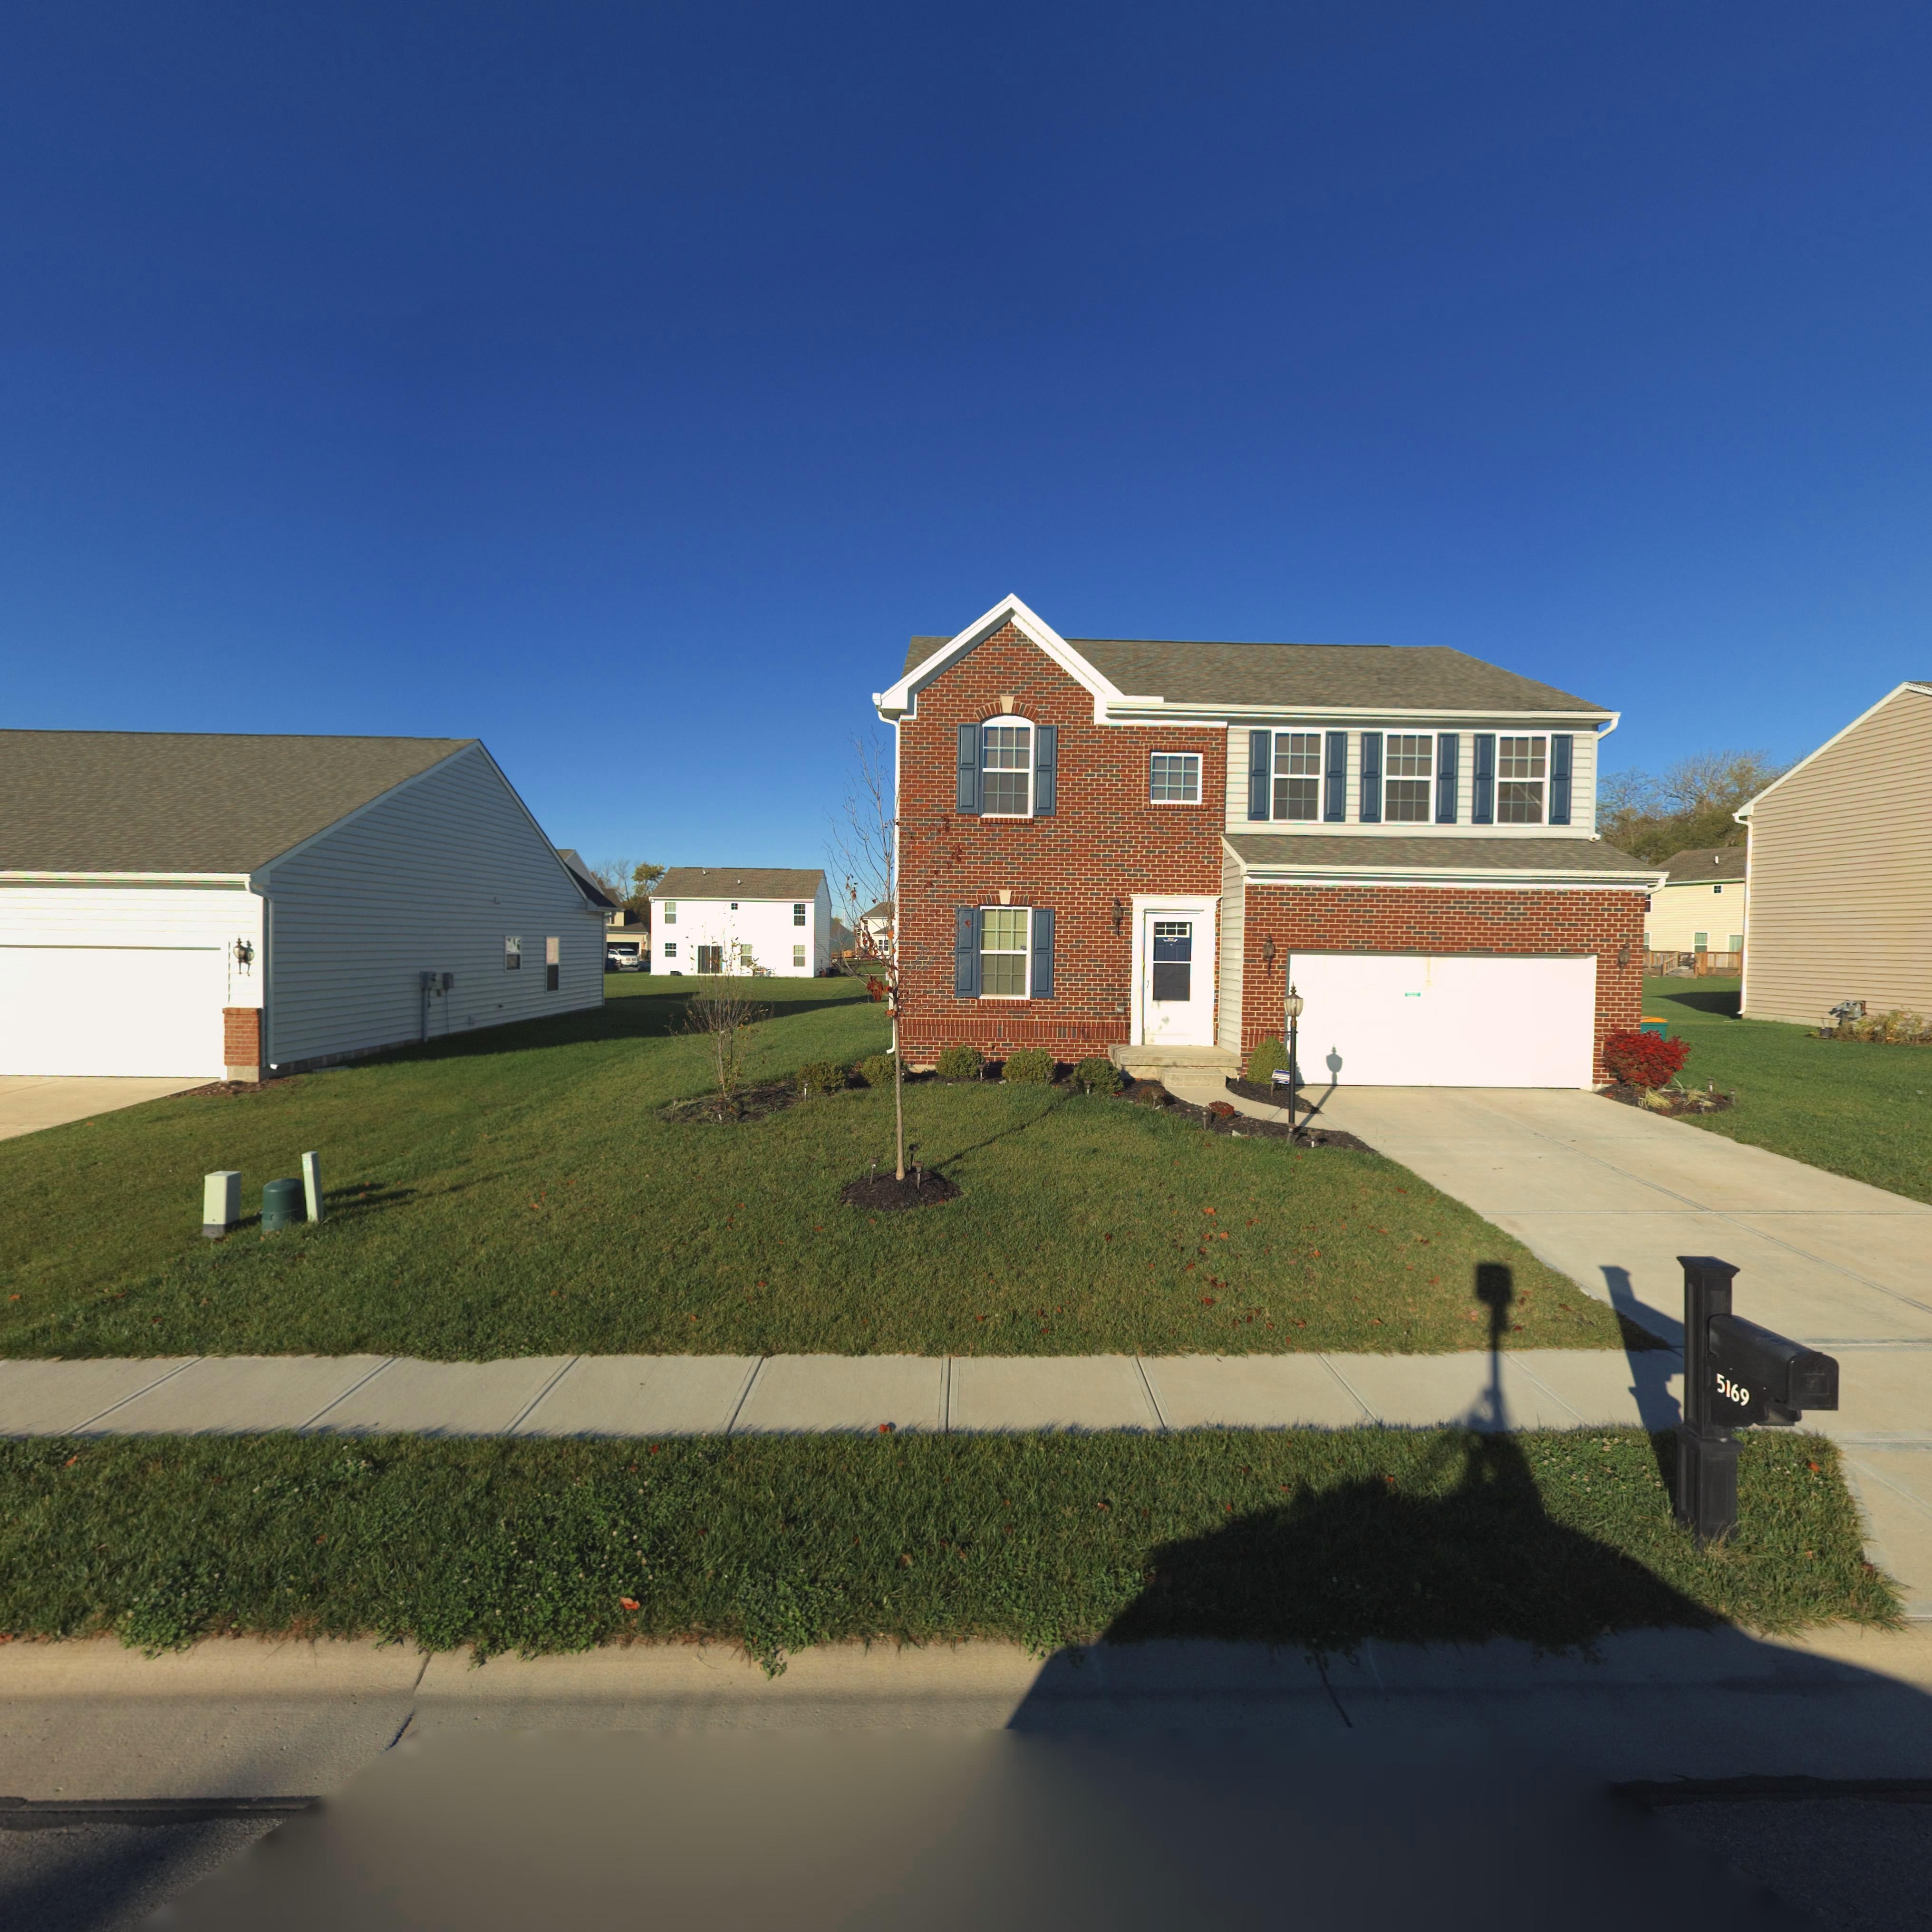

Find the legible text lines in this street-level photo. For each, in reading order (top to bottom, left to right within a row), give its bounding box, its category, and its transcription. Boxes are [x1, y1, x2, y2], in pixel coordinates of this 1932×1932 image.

[1714, 1370, 1752, 1409] StreetNumber: 5169